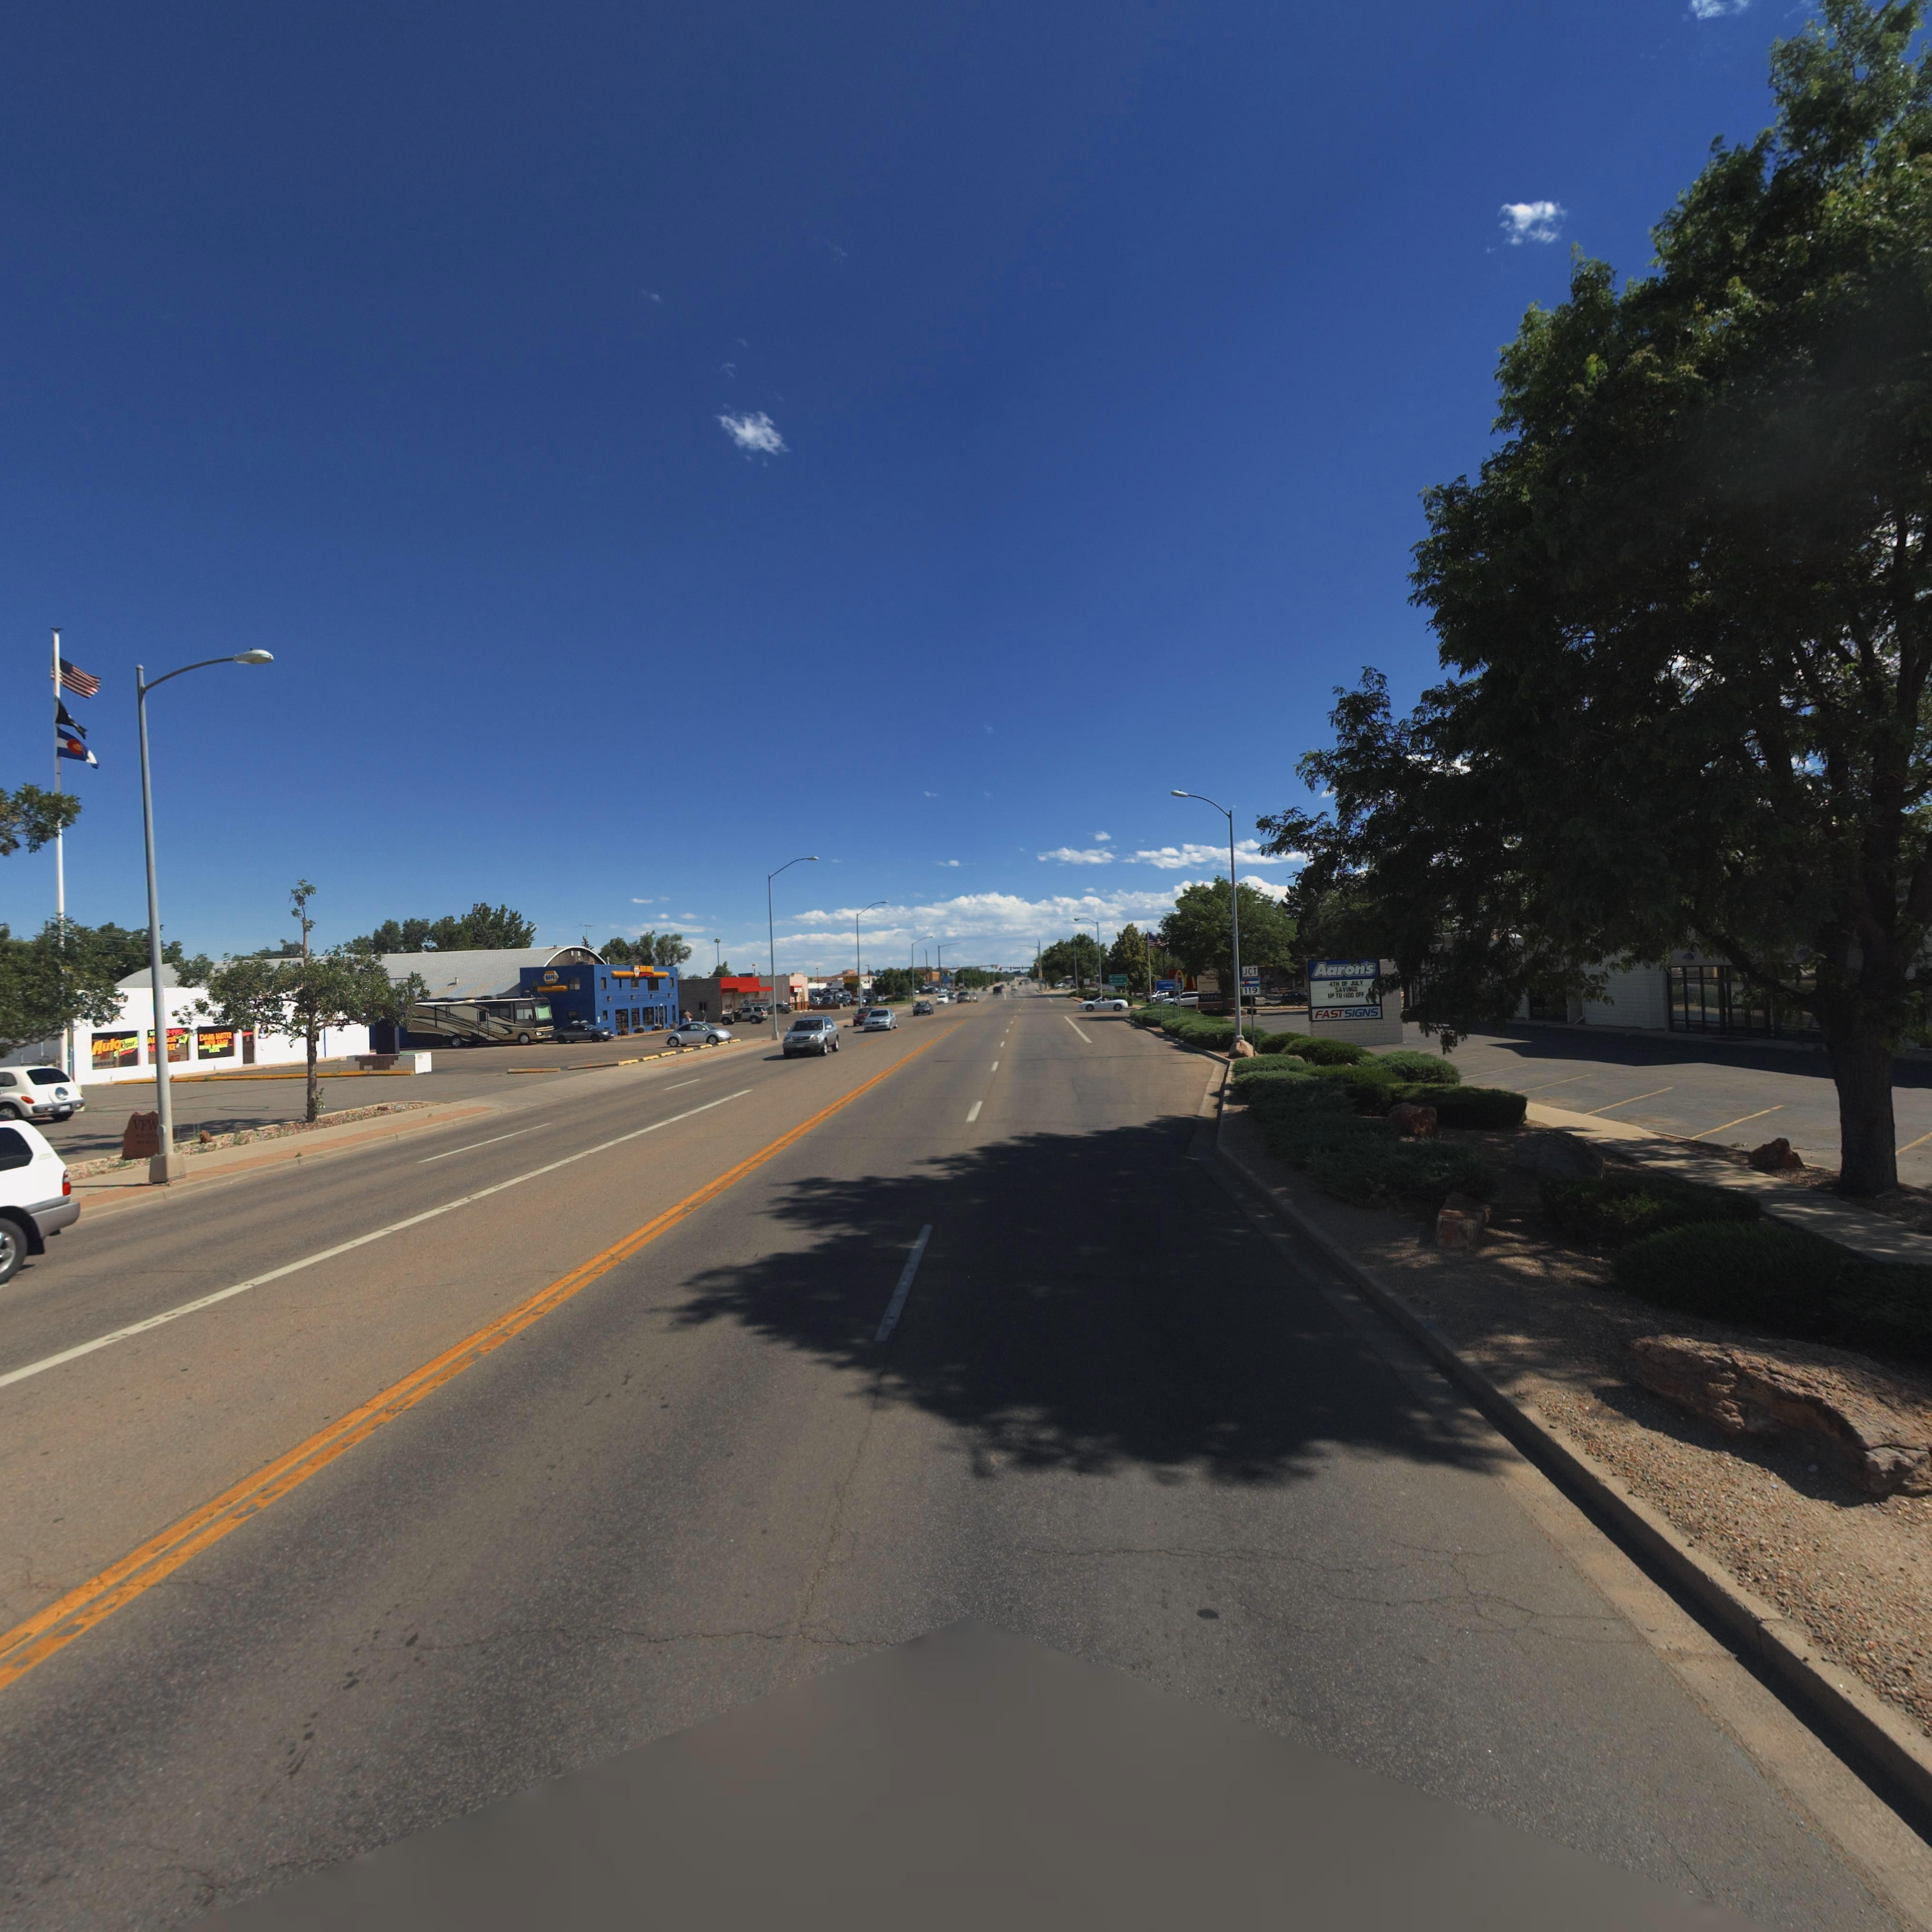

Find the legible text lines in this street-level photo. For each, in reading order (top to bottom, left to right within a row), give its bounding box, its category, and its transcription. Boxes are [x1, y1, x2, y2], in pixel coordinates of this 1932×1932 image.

[1312, 961, 1375, 977] BusinessName: Aaron's
[545, 974, 555, 980] BusinessName: *APA
[844, 975, 859, 980] BusinessName: ZOE
[1314, 1007, 1379, 1019] BusinessName: FASTSIGNS
[132, 1117, 159, 1131] BusinessName: VFW